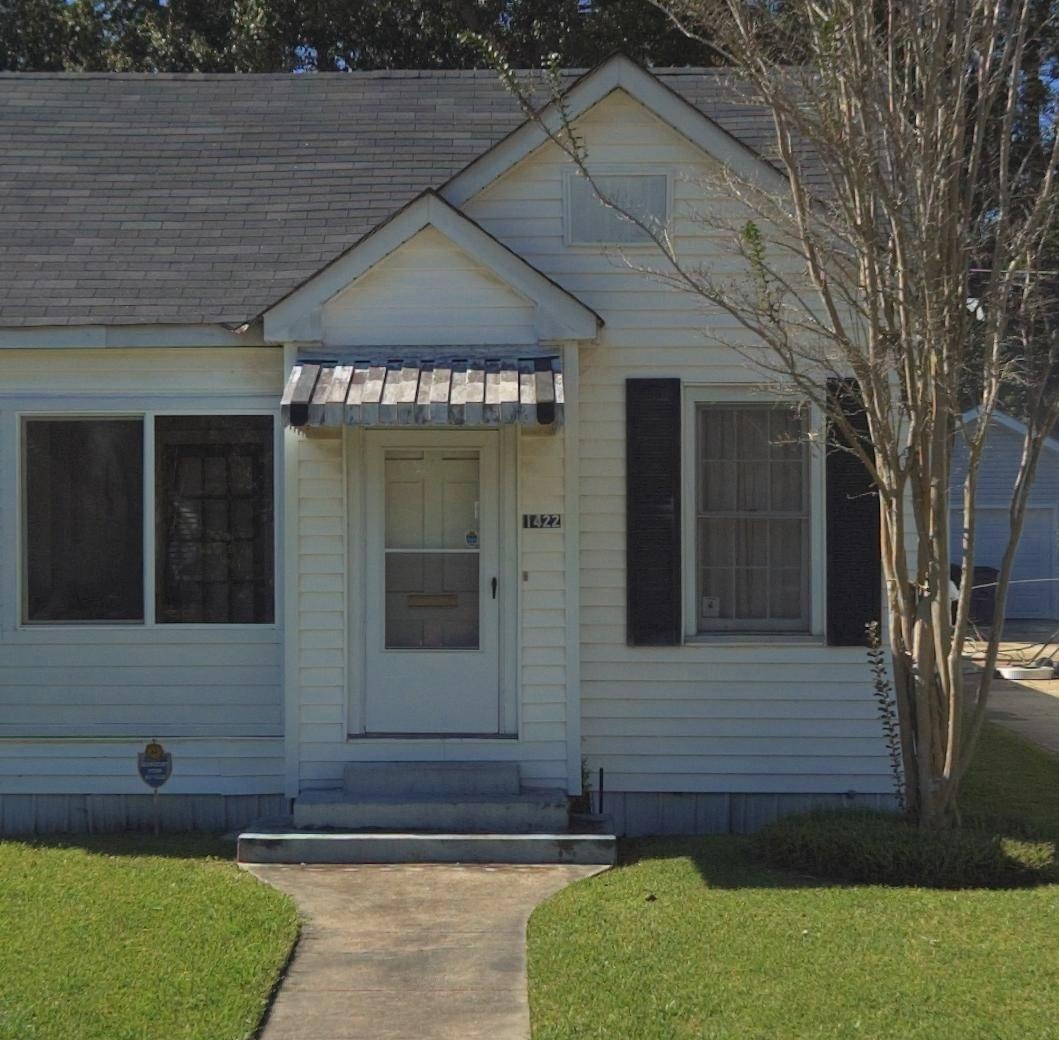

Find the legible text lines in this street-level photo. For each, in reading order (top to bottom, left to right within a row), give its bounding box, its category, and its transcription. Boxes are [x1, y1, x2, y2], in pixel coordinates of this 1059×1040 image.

[525, 513, 562, 529] StreetNumber: 1422